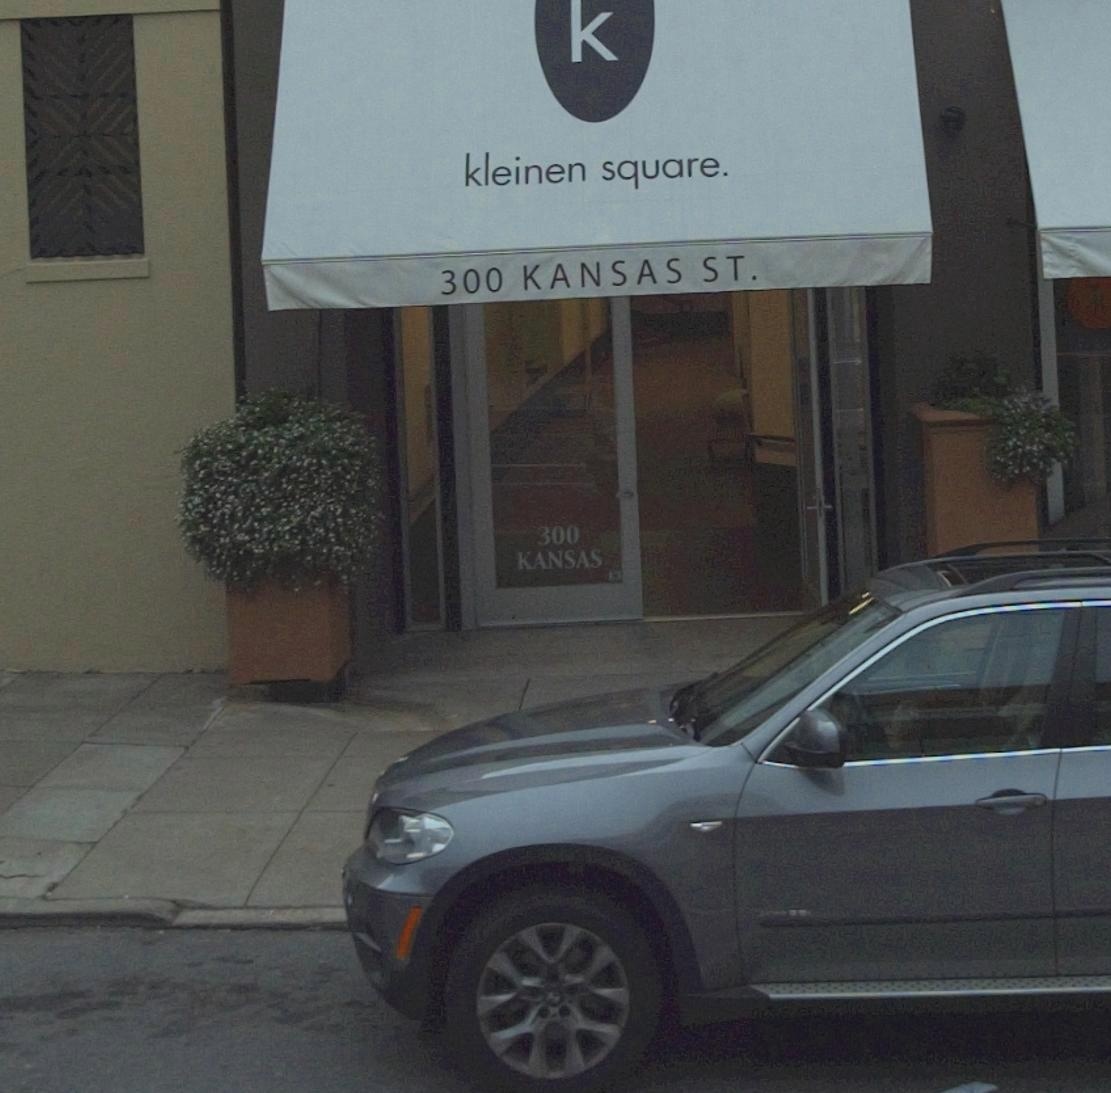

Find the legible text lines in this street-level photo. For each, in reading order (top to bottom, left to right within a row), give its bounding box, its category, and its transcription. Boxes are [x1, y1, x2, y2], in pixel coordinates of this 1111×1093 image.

[568, 1, 620, 64] None: k
[463, 151, 730, 192] BusinessName: kleinen square.
[440, 266, 505, 296] StreetNumber: 300
[521, 253, 760, 292] StreetName: KANSAS ST.
[536, 523, 580, 547] StreetNumber: 300
[517, 547, 603, 571] StreetName: KANSAS